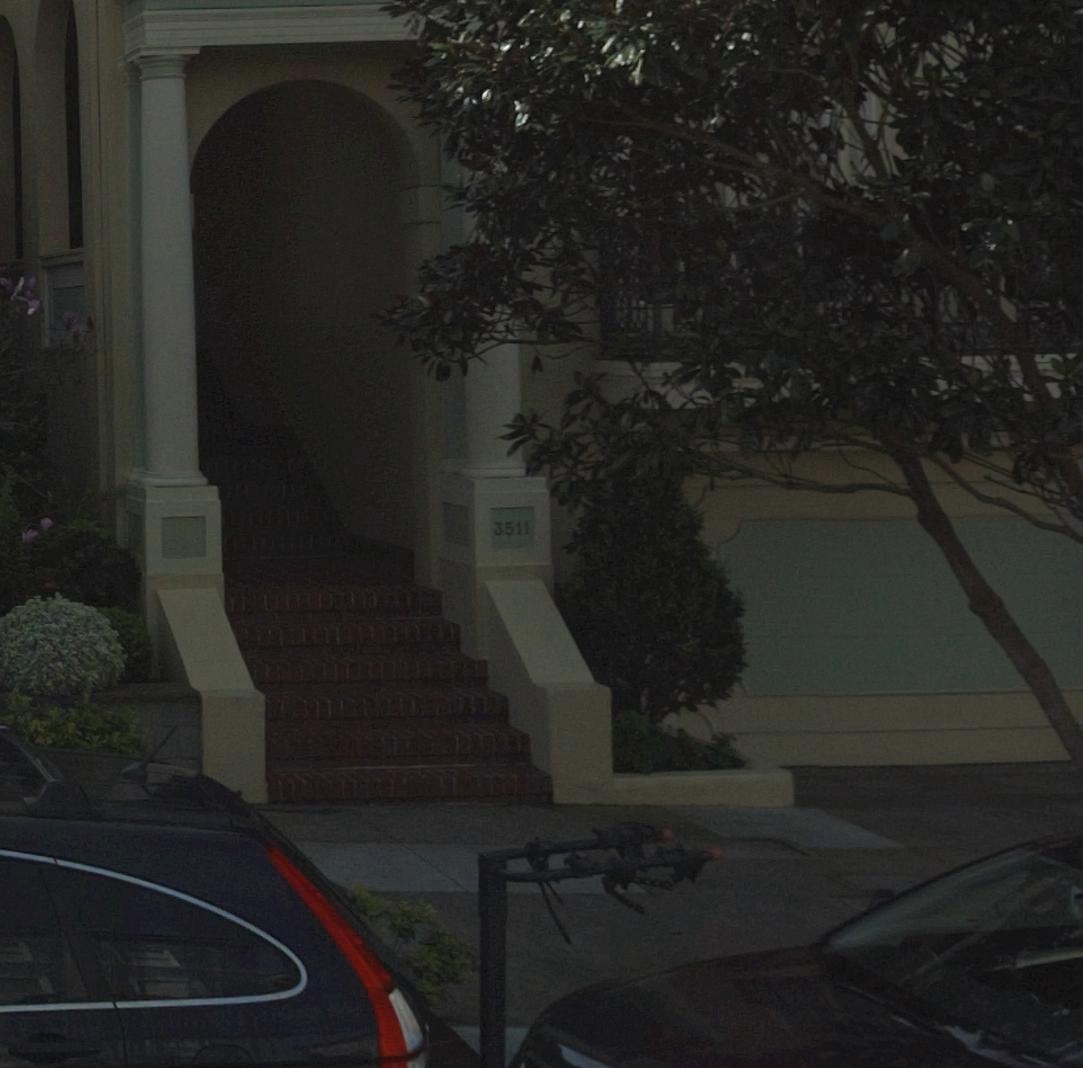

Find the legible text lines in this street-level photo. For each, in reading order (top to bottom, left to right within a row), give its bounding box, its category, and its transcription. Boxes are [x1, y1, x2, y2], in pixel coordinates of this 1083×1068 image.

[491, 519, 533, 538] StreetNumber: 3511